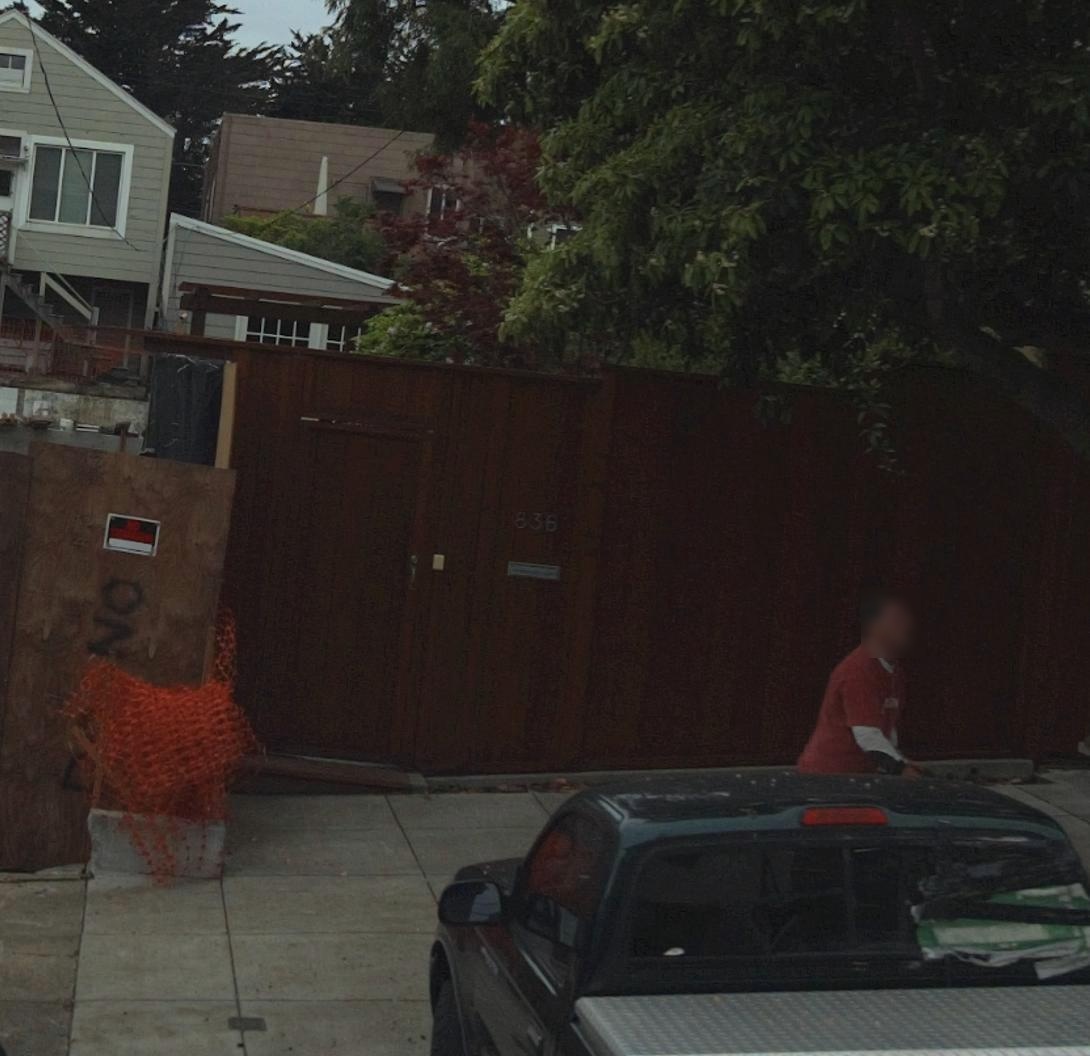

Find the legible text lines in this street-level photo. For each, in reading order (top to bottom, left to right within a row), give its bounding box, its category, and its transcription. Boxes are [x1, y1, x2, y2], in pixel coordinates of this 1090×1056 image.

[512, 509, 559, 533] StreetNumber: 836